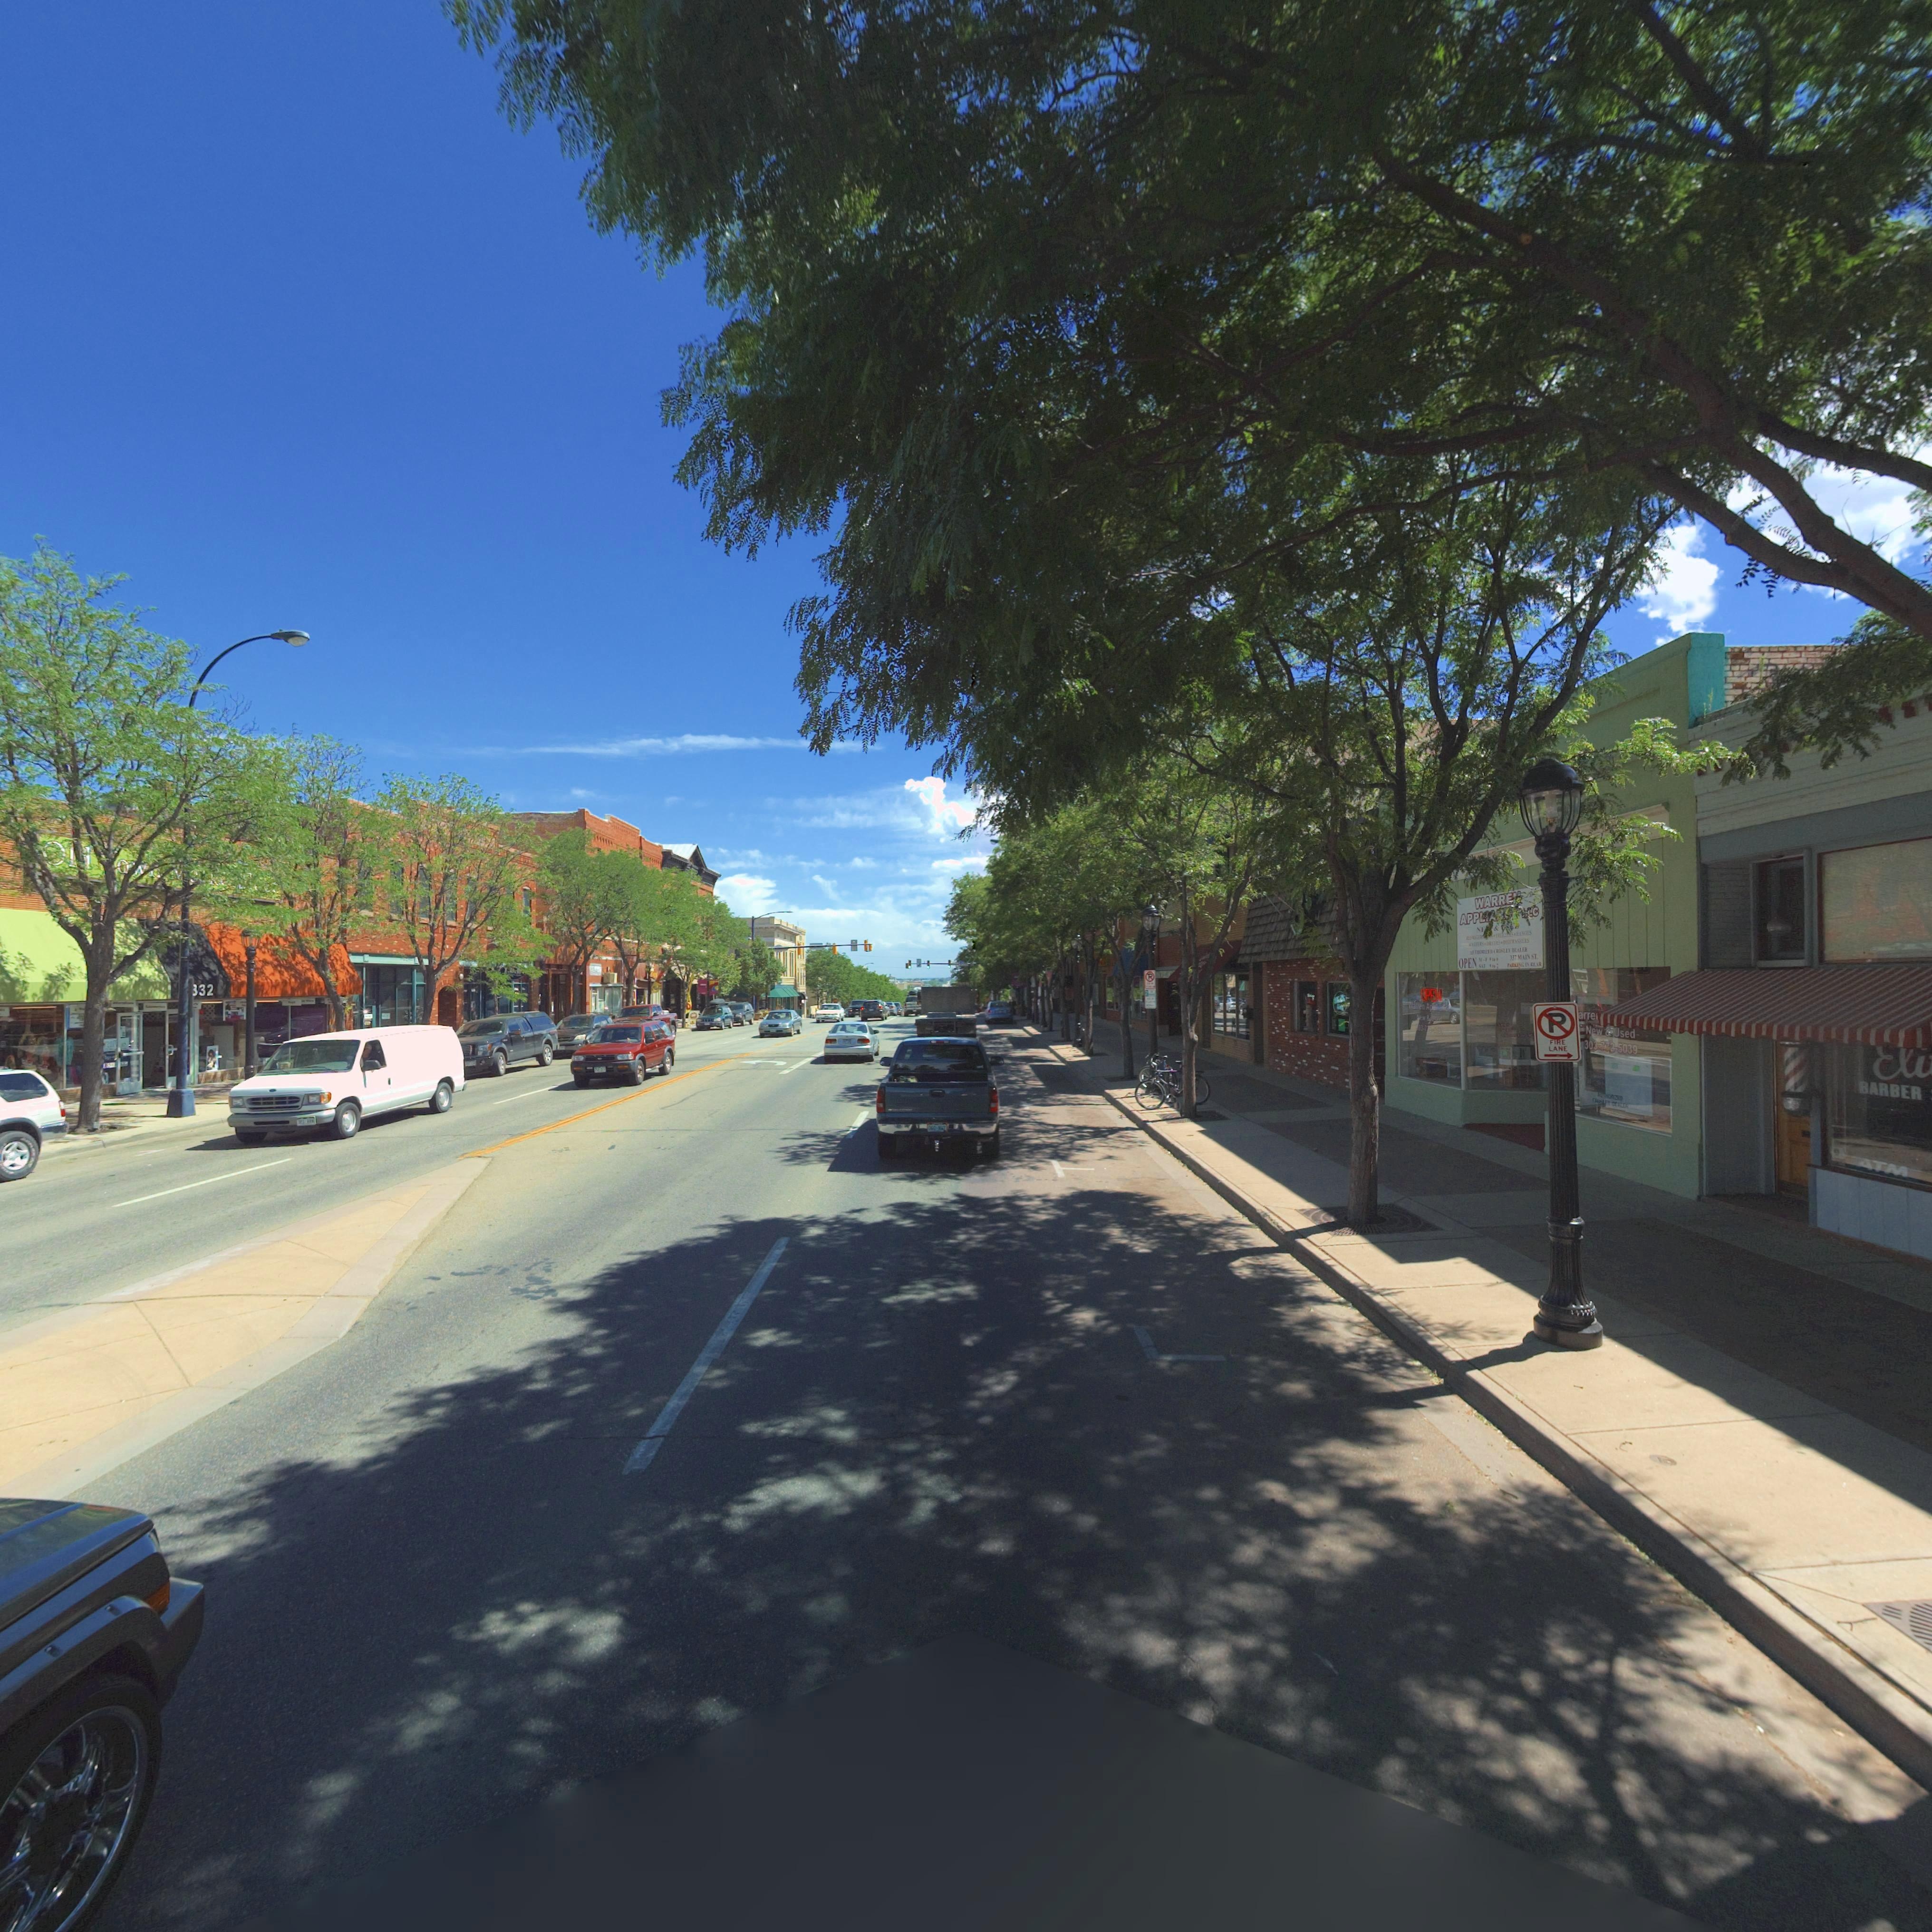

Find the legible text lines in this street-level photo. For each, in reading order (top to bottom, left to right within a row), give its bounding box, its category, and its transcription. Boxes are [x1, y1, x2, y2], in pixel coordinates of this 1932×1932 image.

[1474, 890, 1521, 909] BusinessName: WARRE*
[1459, 906, 1513, 925] BusinessName: APPL*A**
[1522, 906, 1539, 918] BusinessName: *LC
[1508, 954, 1517, 961] StreetNumber: 337
[1517, 953, 1538, 960] StreetName: MAIN ST*
[192, 983, 214, 996] StreetNumber: 332
[1407, 1001, 1451, 1013] BusinessName: Warren Appliances
[1871, 1044, 1927, 1082] BusinessName: *li
[1858, 1080, 1922, 1101] BusinessName: BARBER